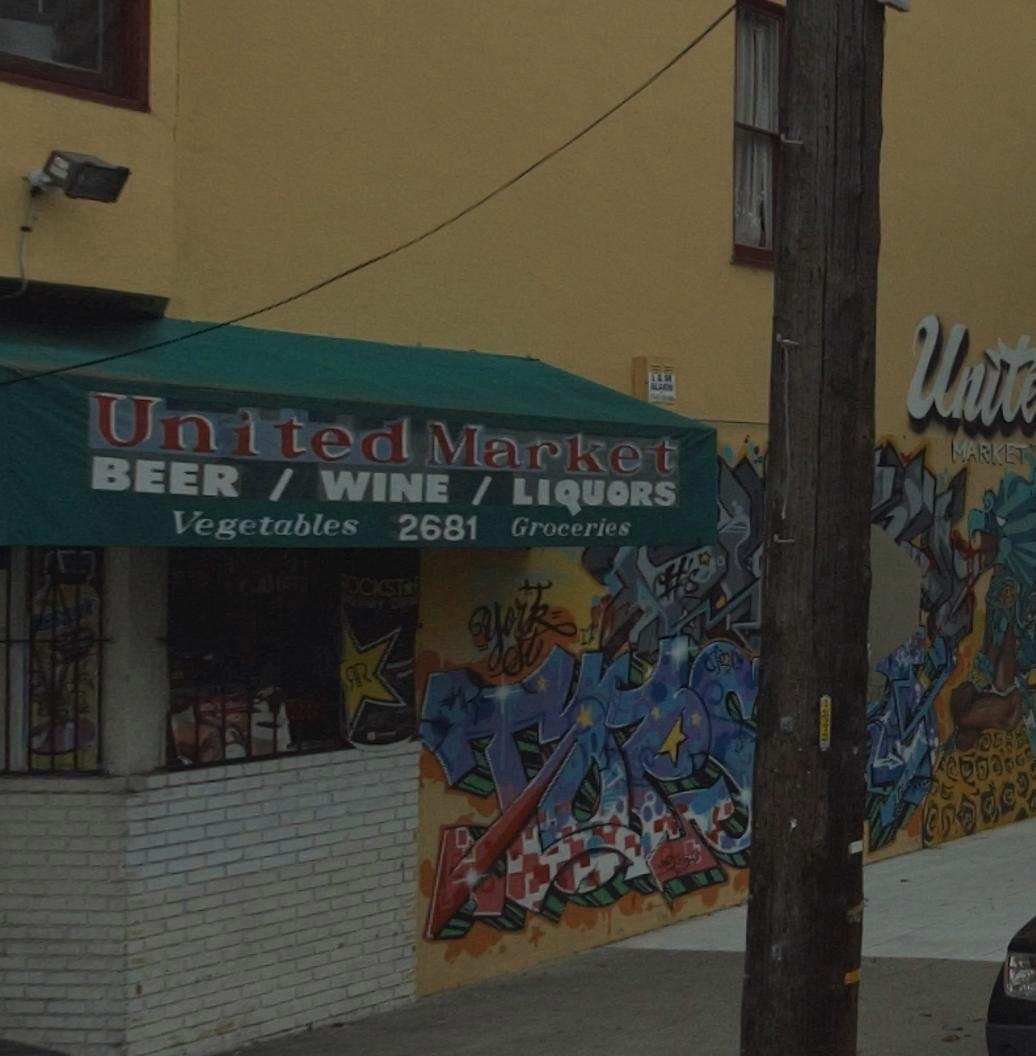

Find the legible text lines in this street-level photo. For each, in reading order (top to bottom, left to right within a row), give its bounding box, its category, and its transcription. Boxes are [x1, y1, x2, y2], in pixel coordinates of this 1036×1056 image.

[905, 312, 1007, 427] BusinessName: Uni
[89, 390, 681, 477] BusinessName: United Market
[950, 435, 1031, 466] BusinessName: MARKET
[89, 452, 679, 517] None: BEER / WINE / LIQUORS
[170, 507, 361, 543] None: Vegetables
[397, 512, 479, 542] StreetNumber: 2681
[508, 513, 634, 540] None: Groceries
[343, 574, 406, 595] None: OCKST